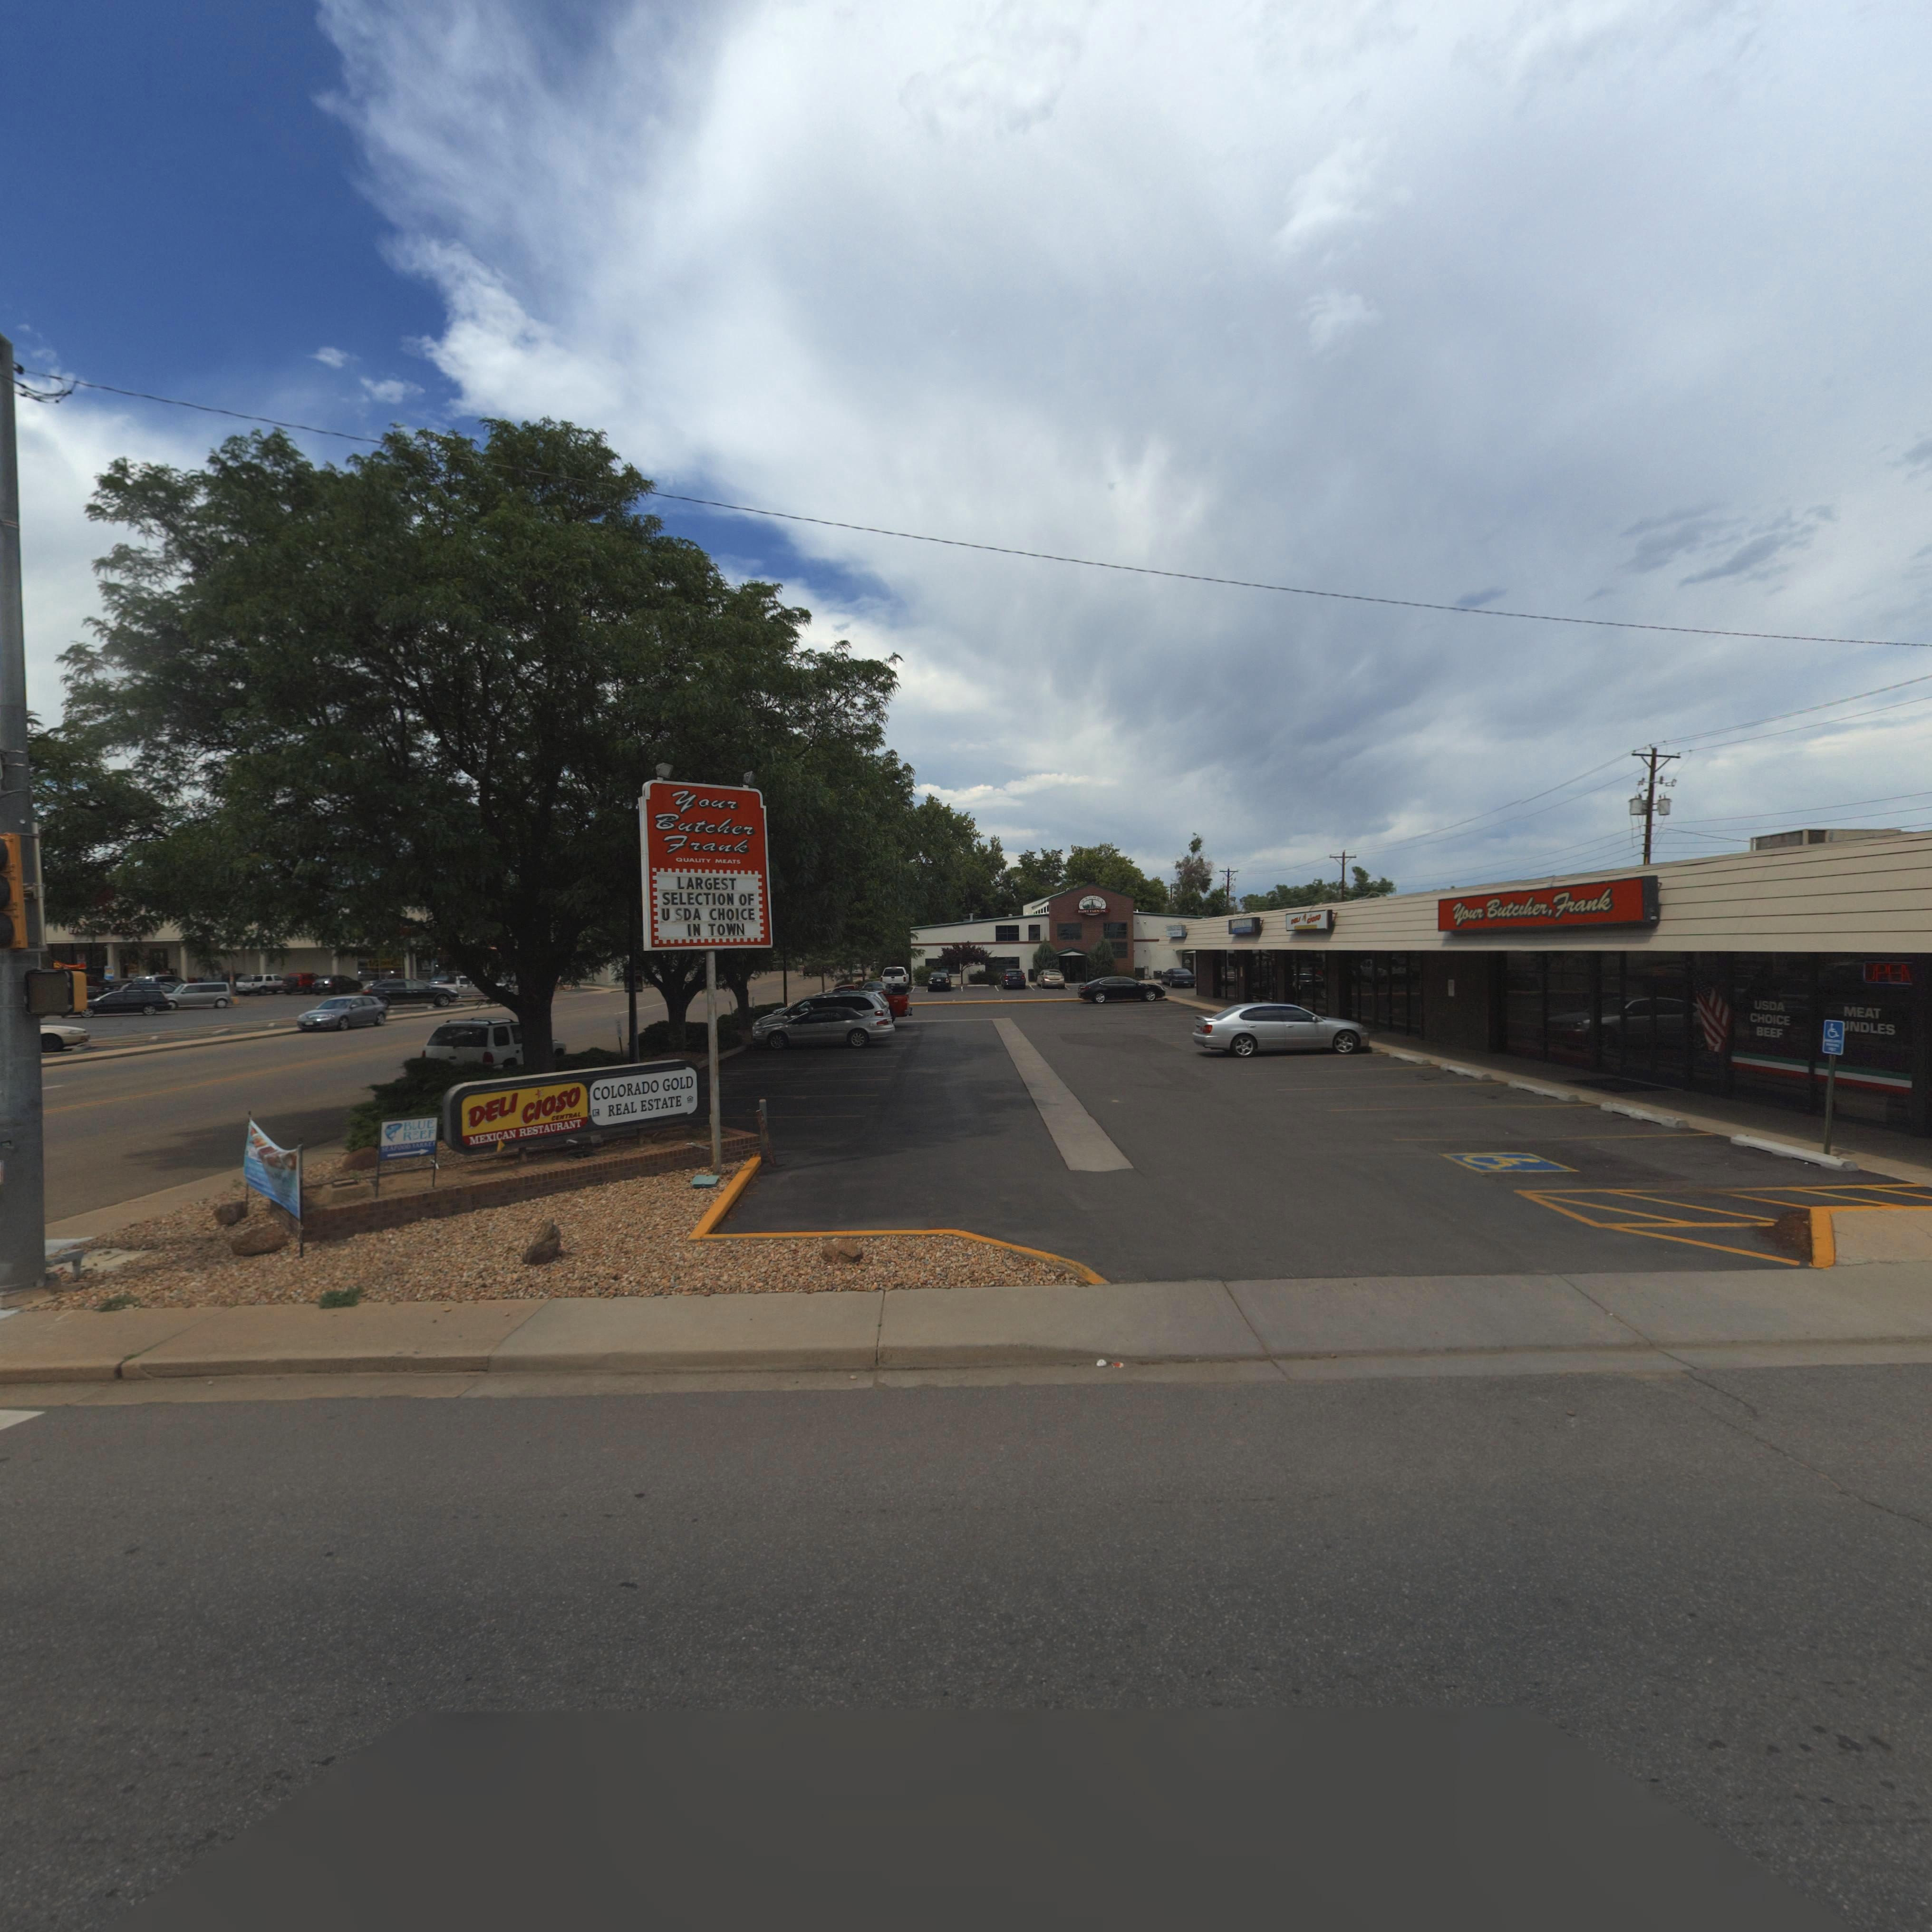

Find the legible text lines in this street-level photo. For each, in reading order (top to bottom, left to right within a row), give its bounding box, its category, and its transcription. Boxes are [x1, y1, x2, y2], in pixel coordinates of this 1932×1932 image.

[670, 789, 738, 814] BusinessName: Your
[654, 812, 755, 835] BusinessName: Butcher
[662, 833, 750, 855] BusinessName: Frank
[1291, 916, 1301, 924] BusinessName: DELI
[1306, 914, 1321, 924] BusinessName: CIOSO
[1451, 886, 1614, 928] BusinessName: Your Butcher, Frank
[592, 1075, 694, 1101] BusinessName: COLORADO GOLD
[467, 1092, 519, 1127] BusinessName: DELI
[522, 1085, 580, 1124] BusinessName: CIOSO
[551, 1111, 581, 1121] BusinessName: CENTRAL
[608, 1095, 681, 1117] BusinessName: REAL ESTATE